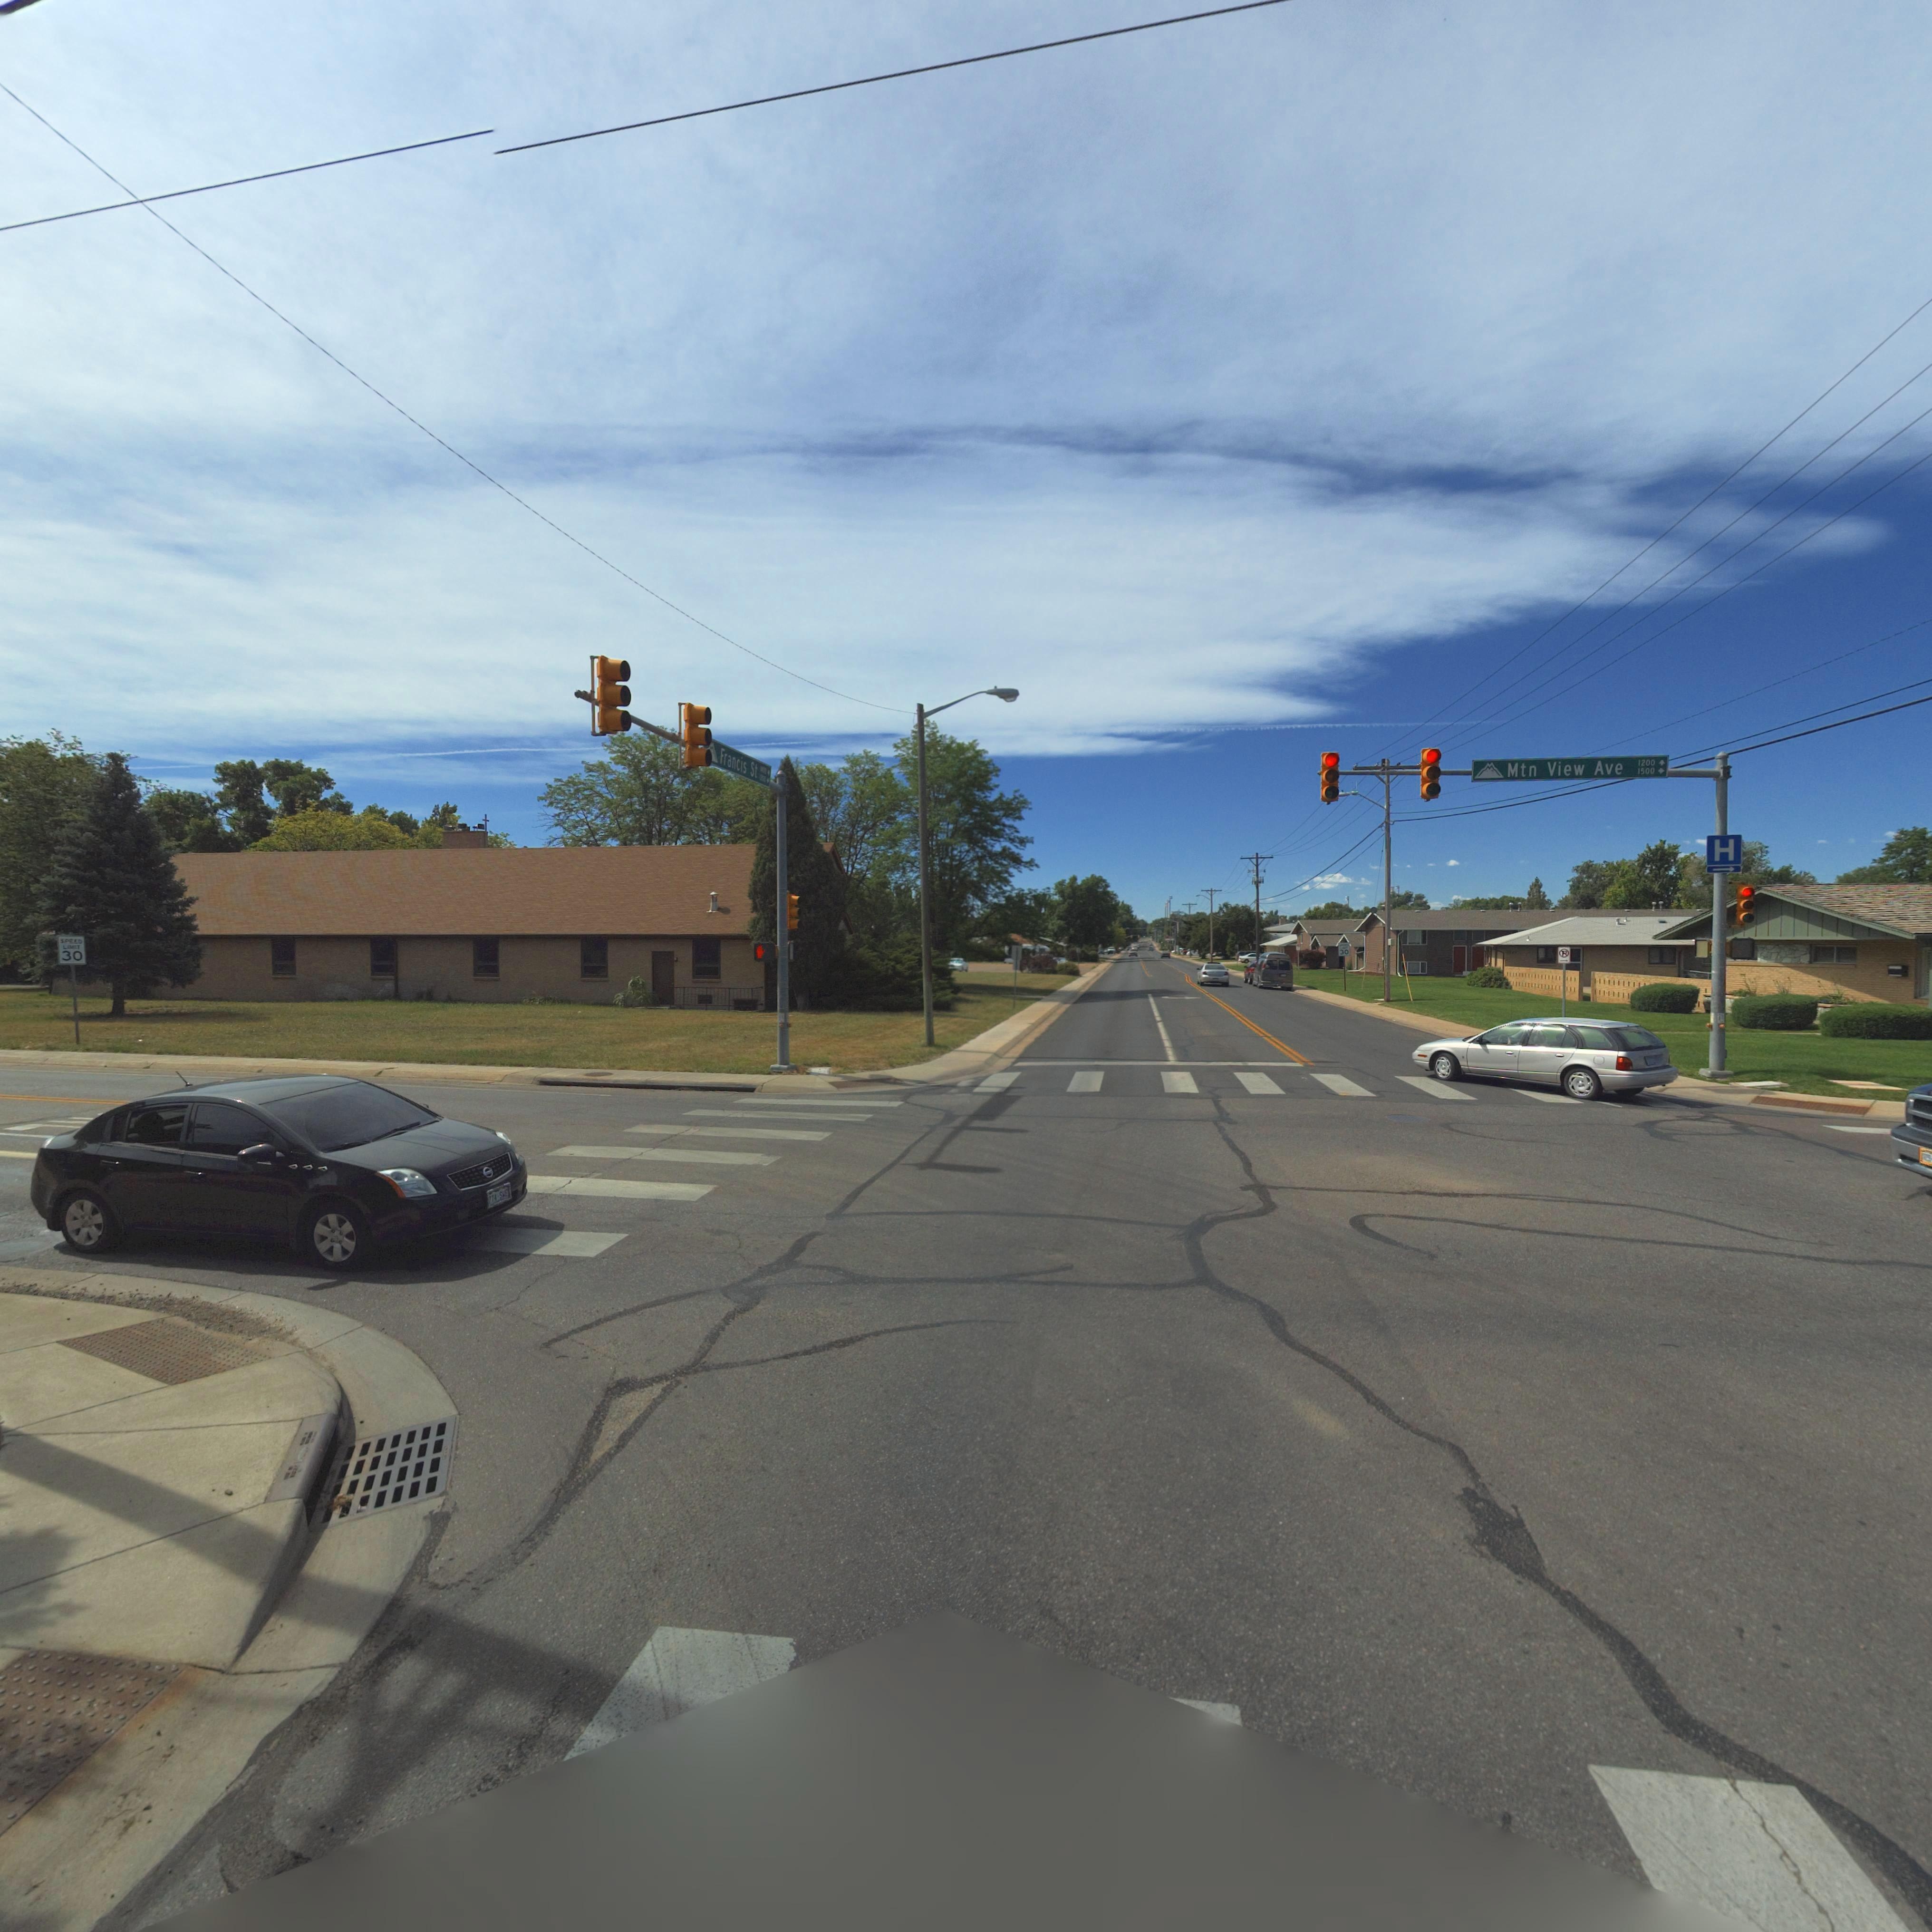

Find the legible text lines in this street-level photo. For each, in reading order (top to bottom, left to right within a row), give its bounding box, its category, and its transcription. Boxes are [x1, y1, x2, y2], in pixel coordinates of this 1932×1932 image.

[720, 747, 758, 778] StreetName: Francis St
[1638, 759, 1655, 766] StreetNumberRange: 1200
[759, 765, 767, 774] StreetNumberRange: 1400
[1507, 760, 1623, 777] StreetName: Mtn View Ave
[1637, 767, 1665, 774] StreetNumberRange: 1500->
[758, 773, 769, 783] StreetNumberRange: 1*00->